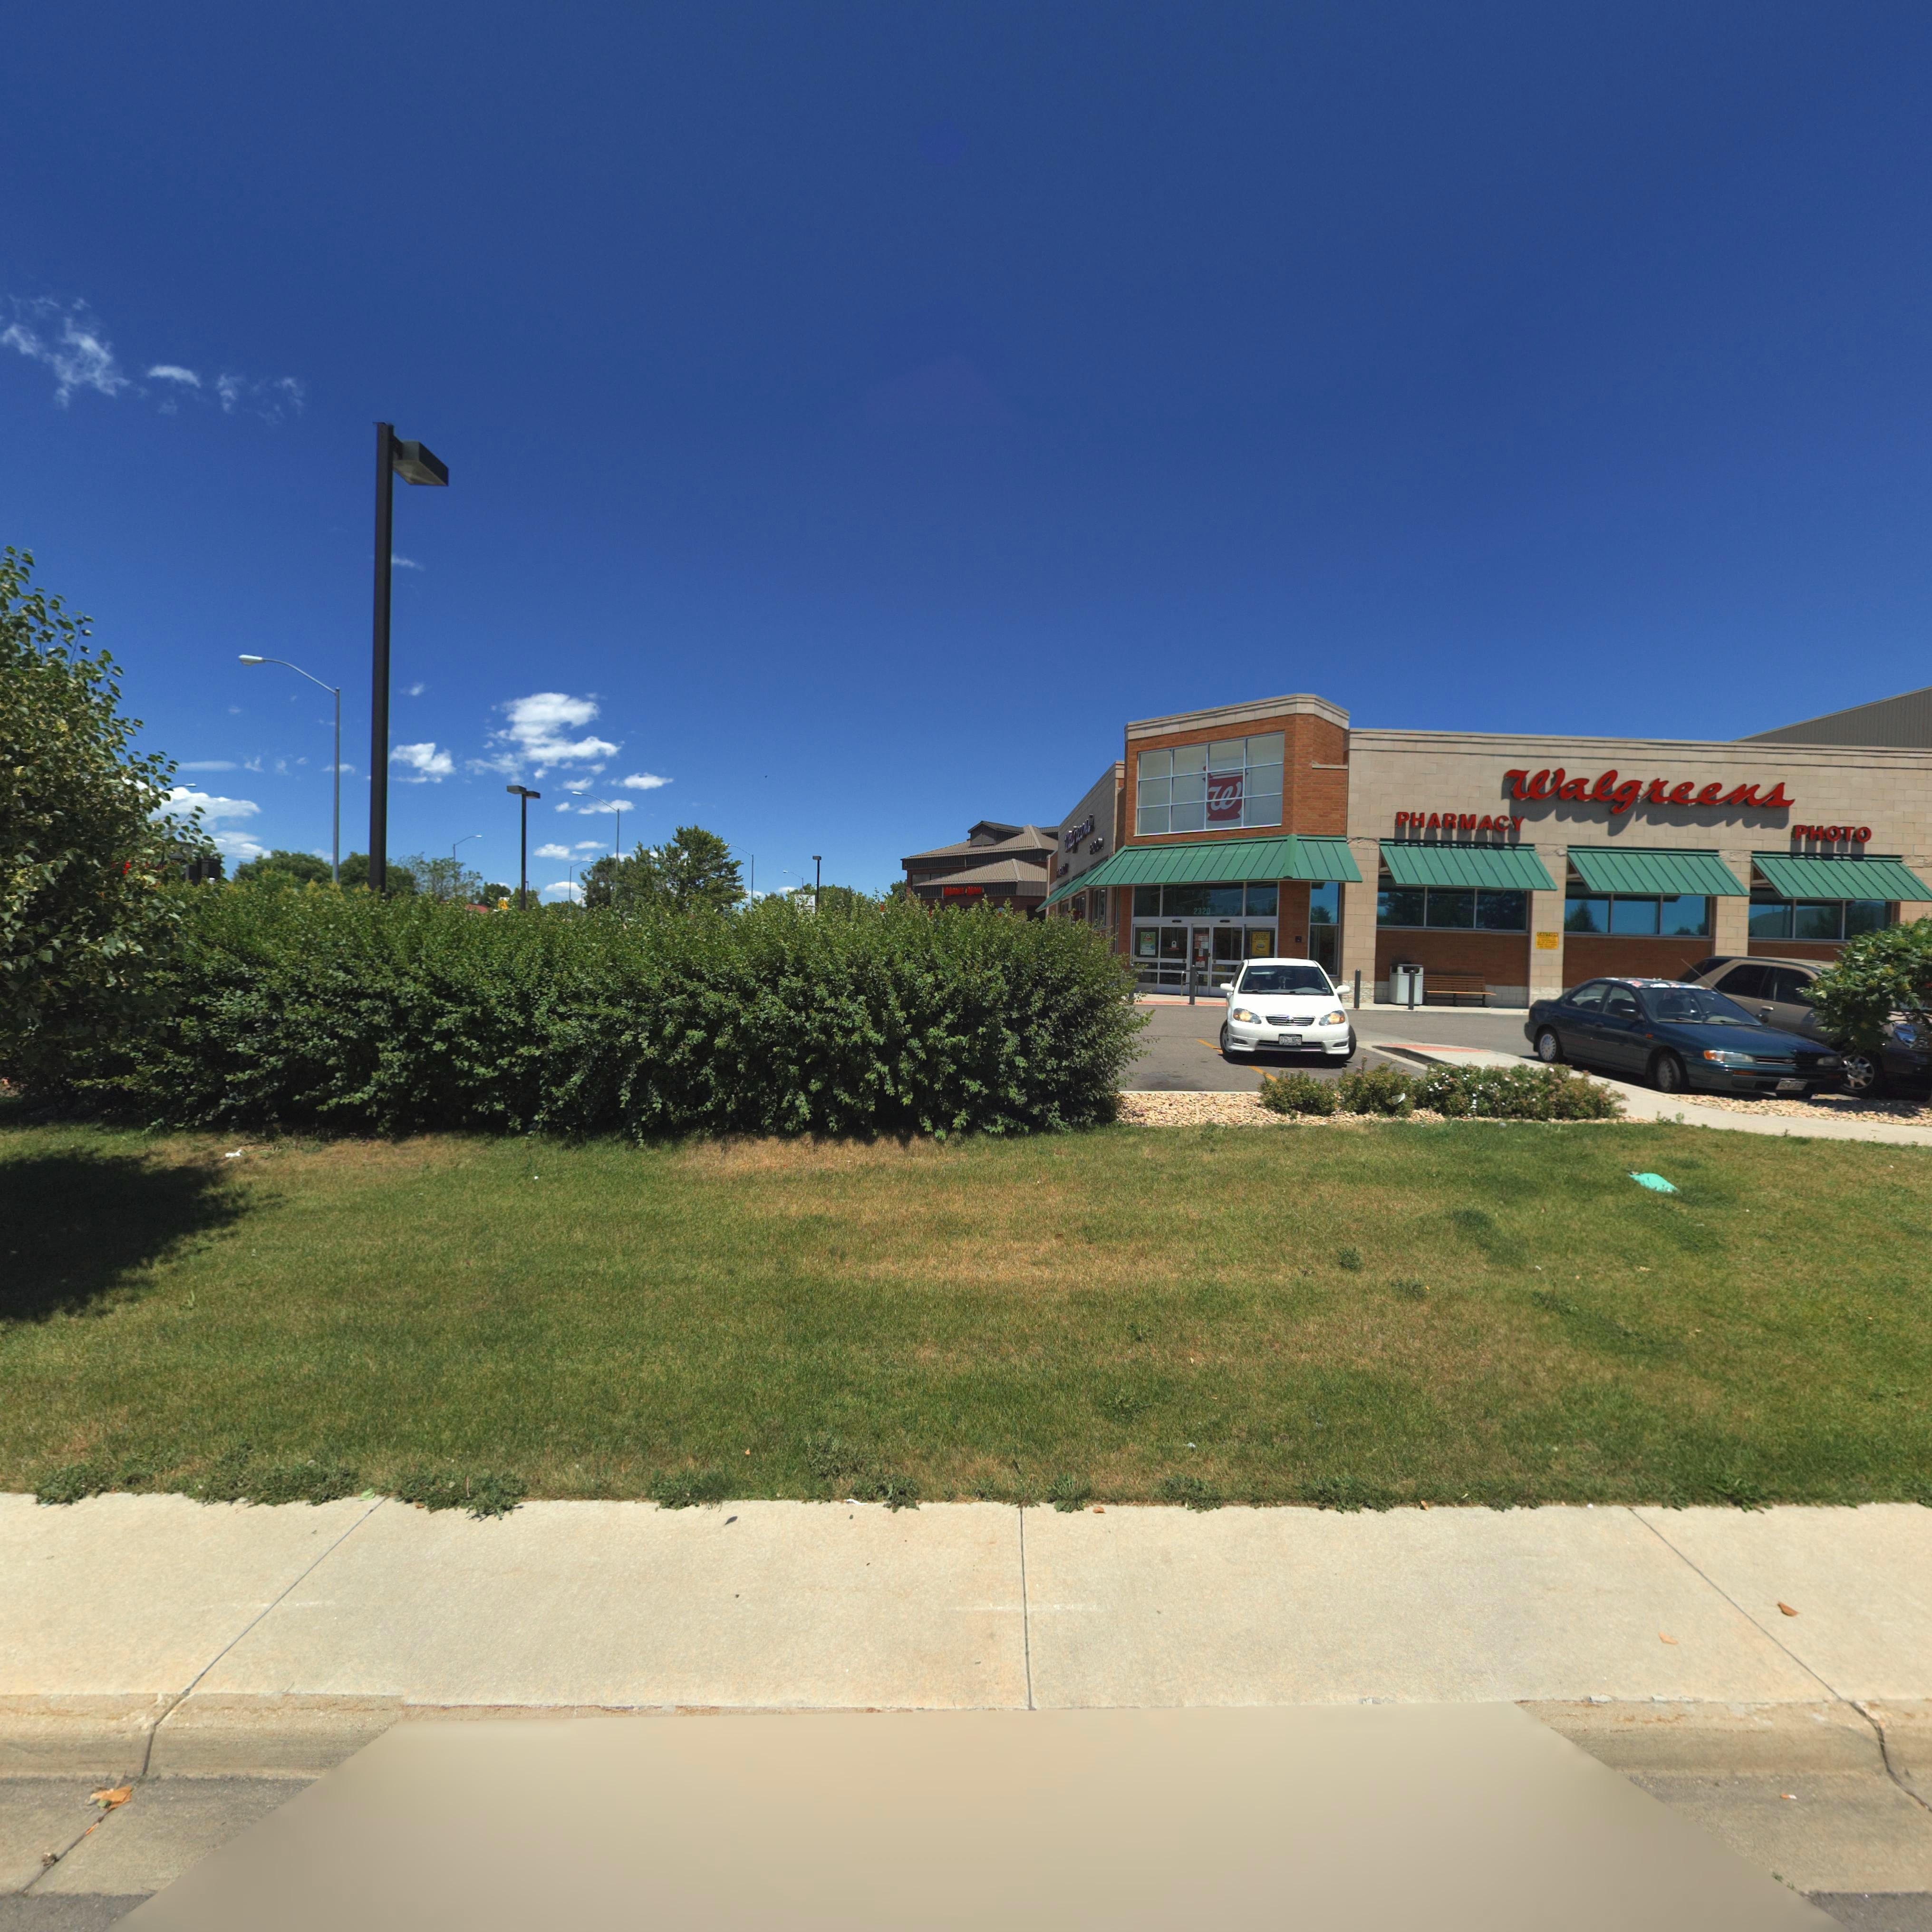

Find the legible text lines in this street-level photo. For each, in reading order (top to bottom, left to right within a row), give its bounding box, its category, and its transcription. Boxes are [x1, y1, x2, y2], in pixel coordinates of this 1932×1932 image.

[1503, 767, 1796, 814] BusinessName: Walgreens
[1063, 813, 1093, 854] BusinessName: Walgreens
[1193, 907, 1210, 915] StreetNumber: 2320